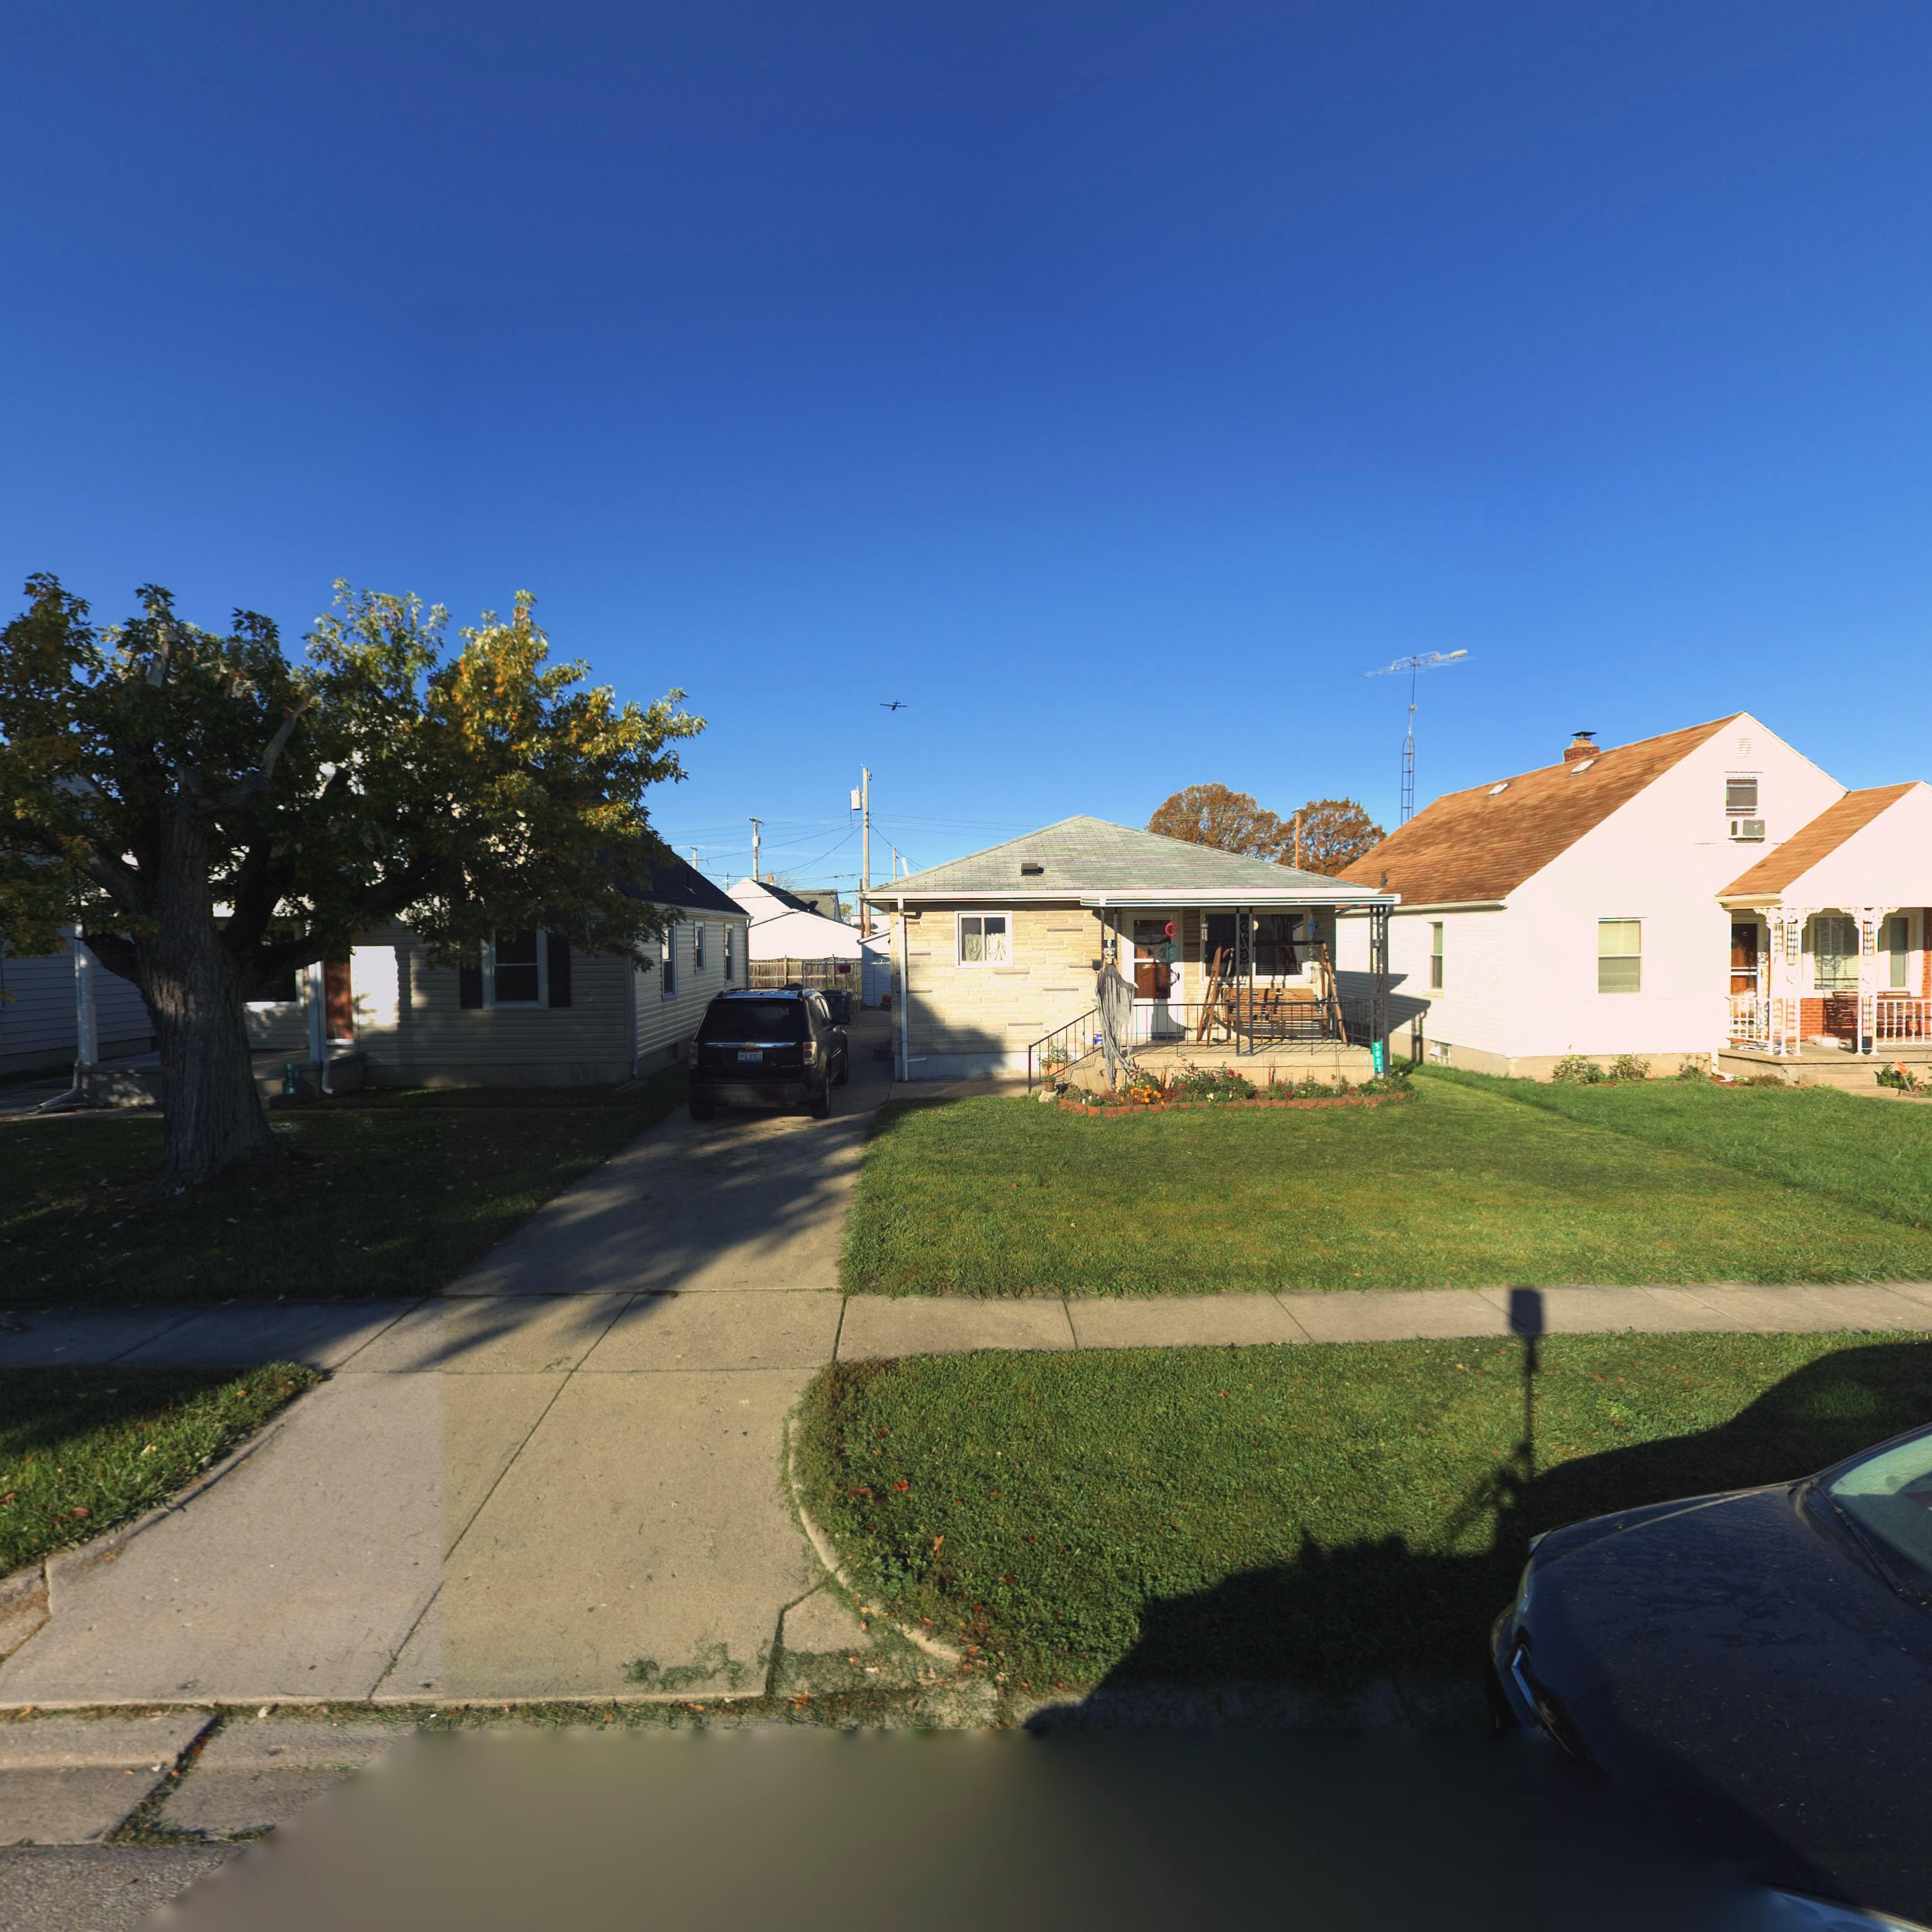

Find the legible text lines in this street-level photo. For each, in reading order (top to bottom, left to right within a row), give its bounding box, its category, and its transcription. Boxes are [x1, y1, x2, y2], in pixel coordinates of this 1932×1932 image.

[1374, 1043, 1382, 1073] StreetNumber: 5023
[286, 1063, 294, 1094] StreetNumber: 5029